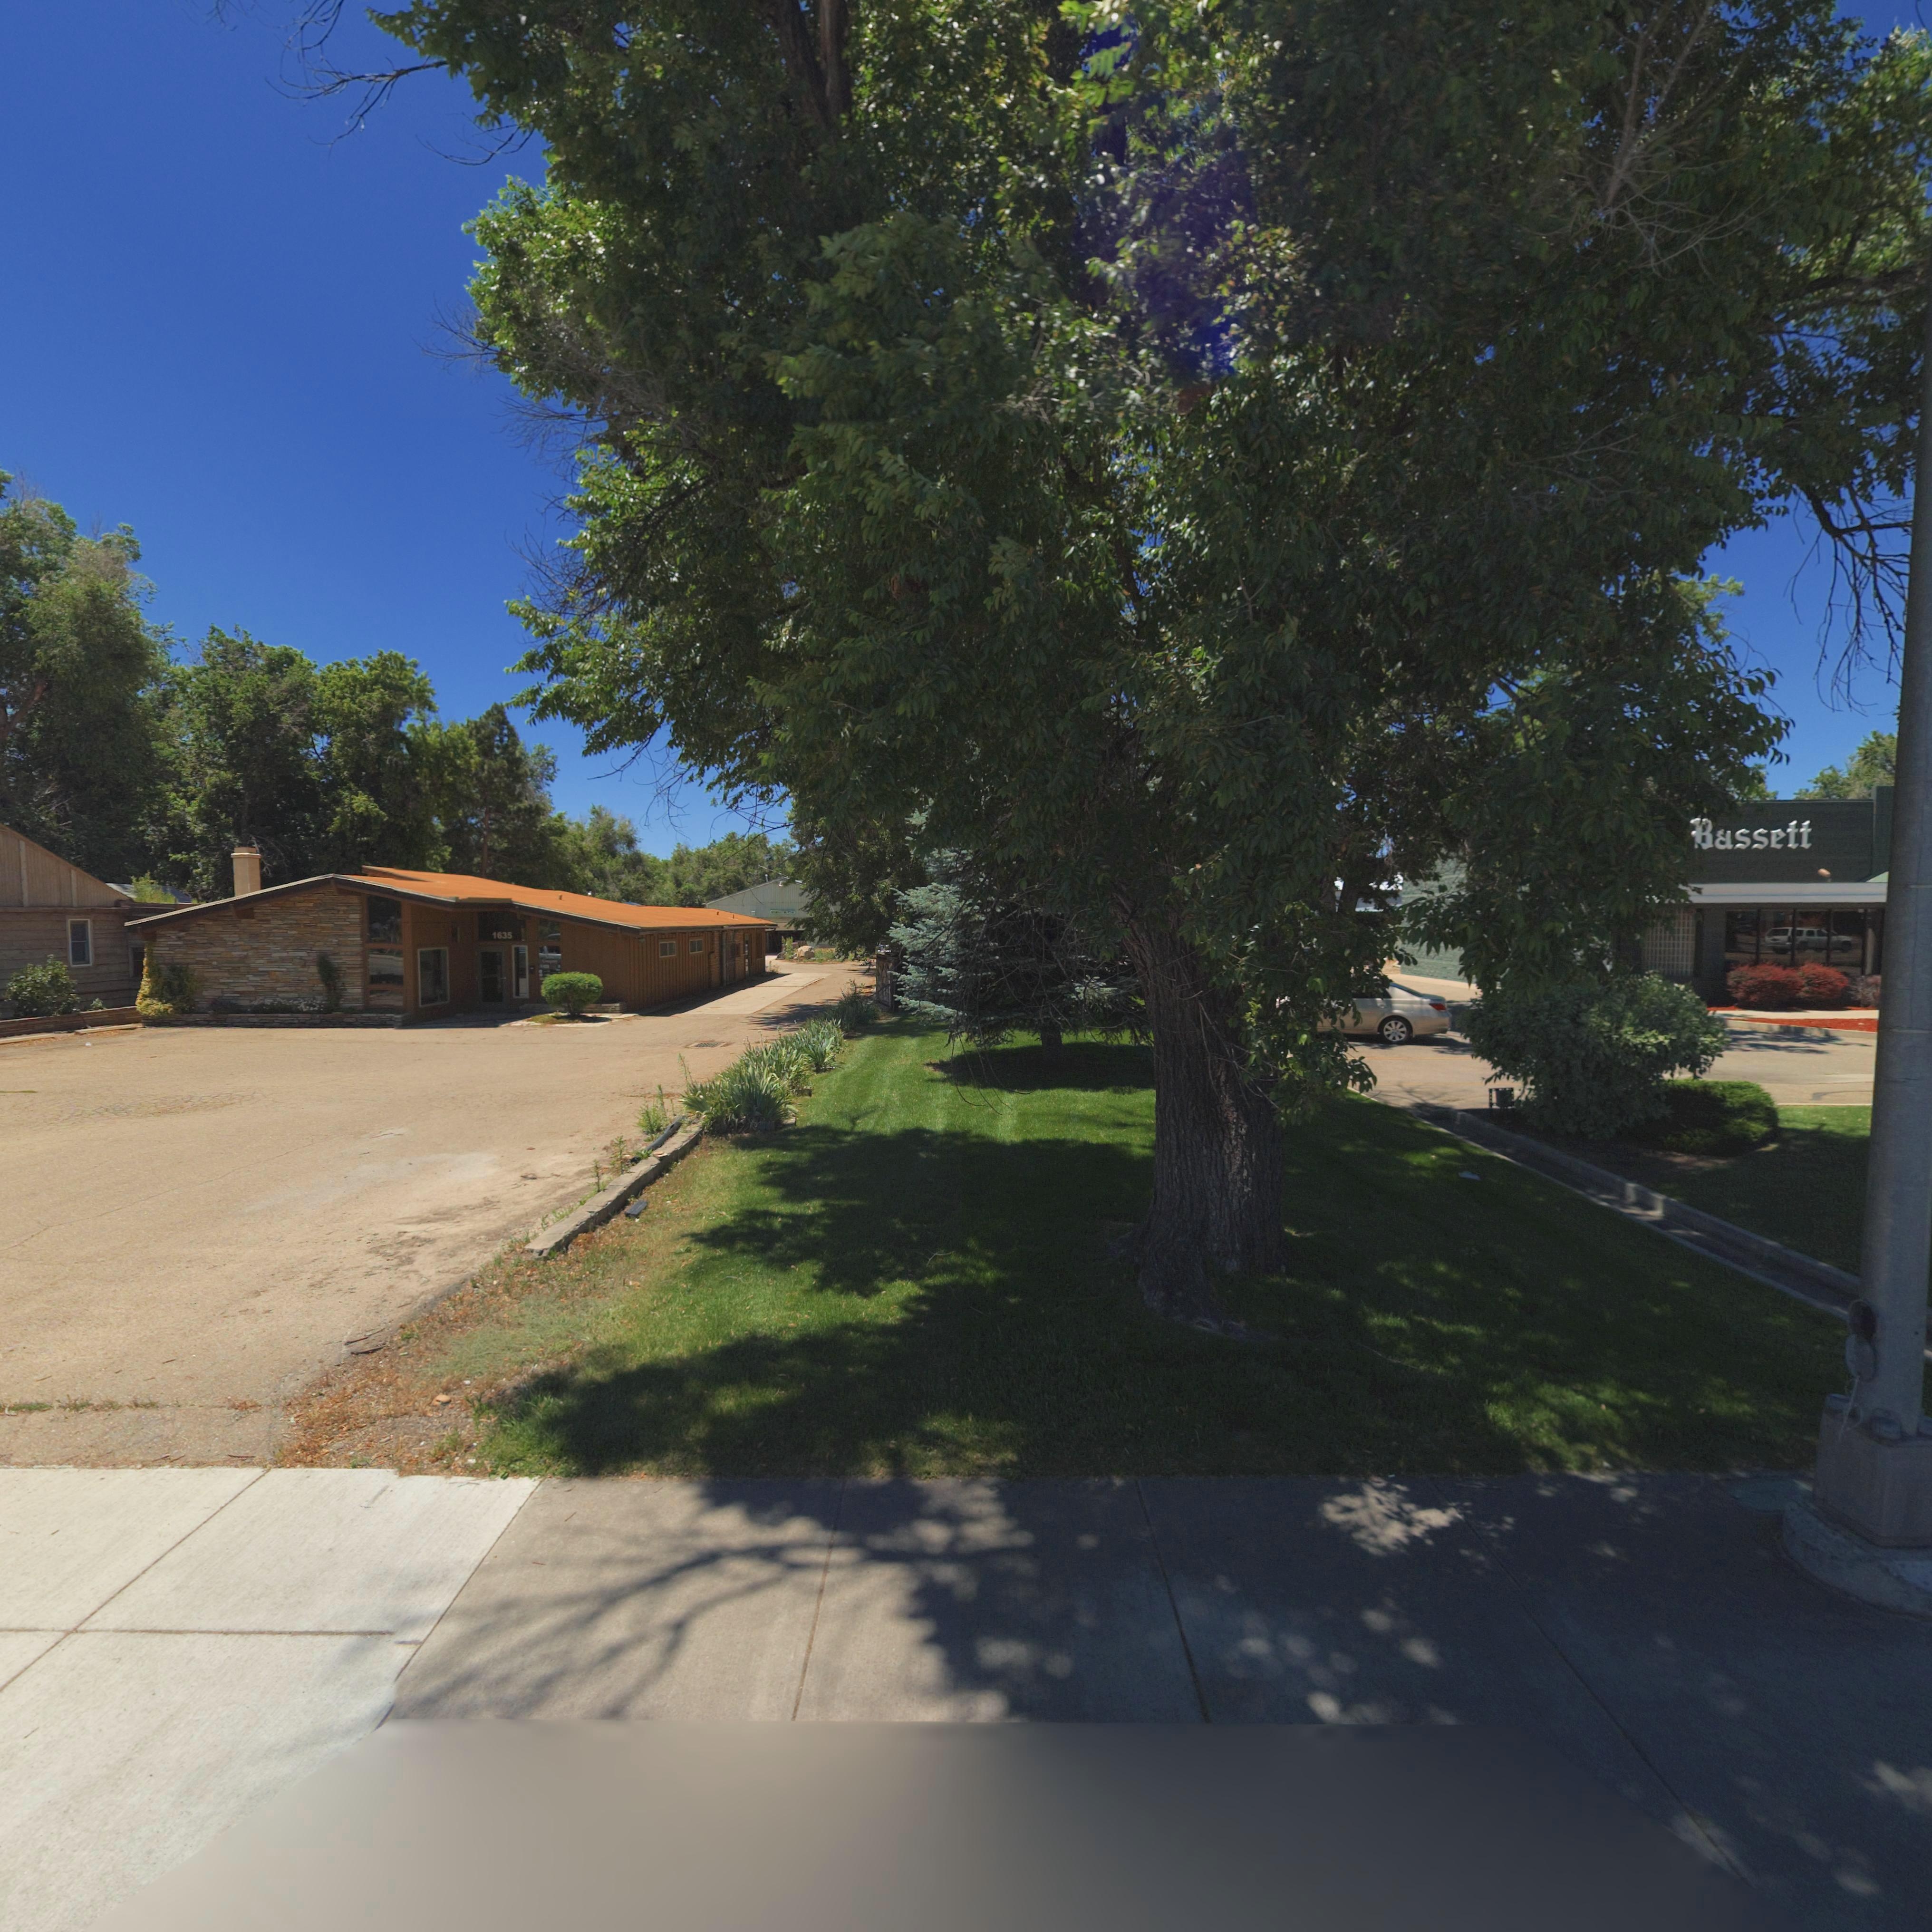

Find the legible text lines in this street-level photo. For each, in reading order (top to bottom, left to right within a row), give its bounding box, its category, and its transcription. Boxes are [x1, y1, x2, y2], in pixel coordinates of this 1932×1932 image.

[1688, 815, 1816, 850] BusinessName: Bassett
[493, 932, 512, 939] StreetNumber: 1635